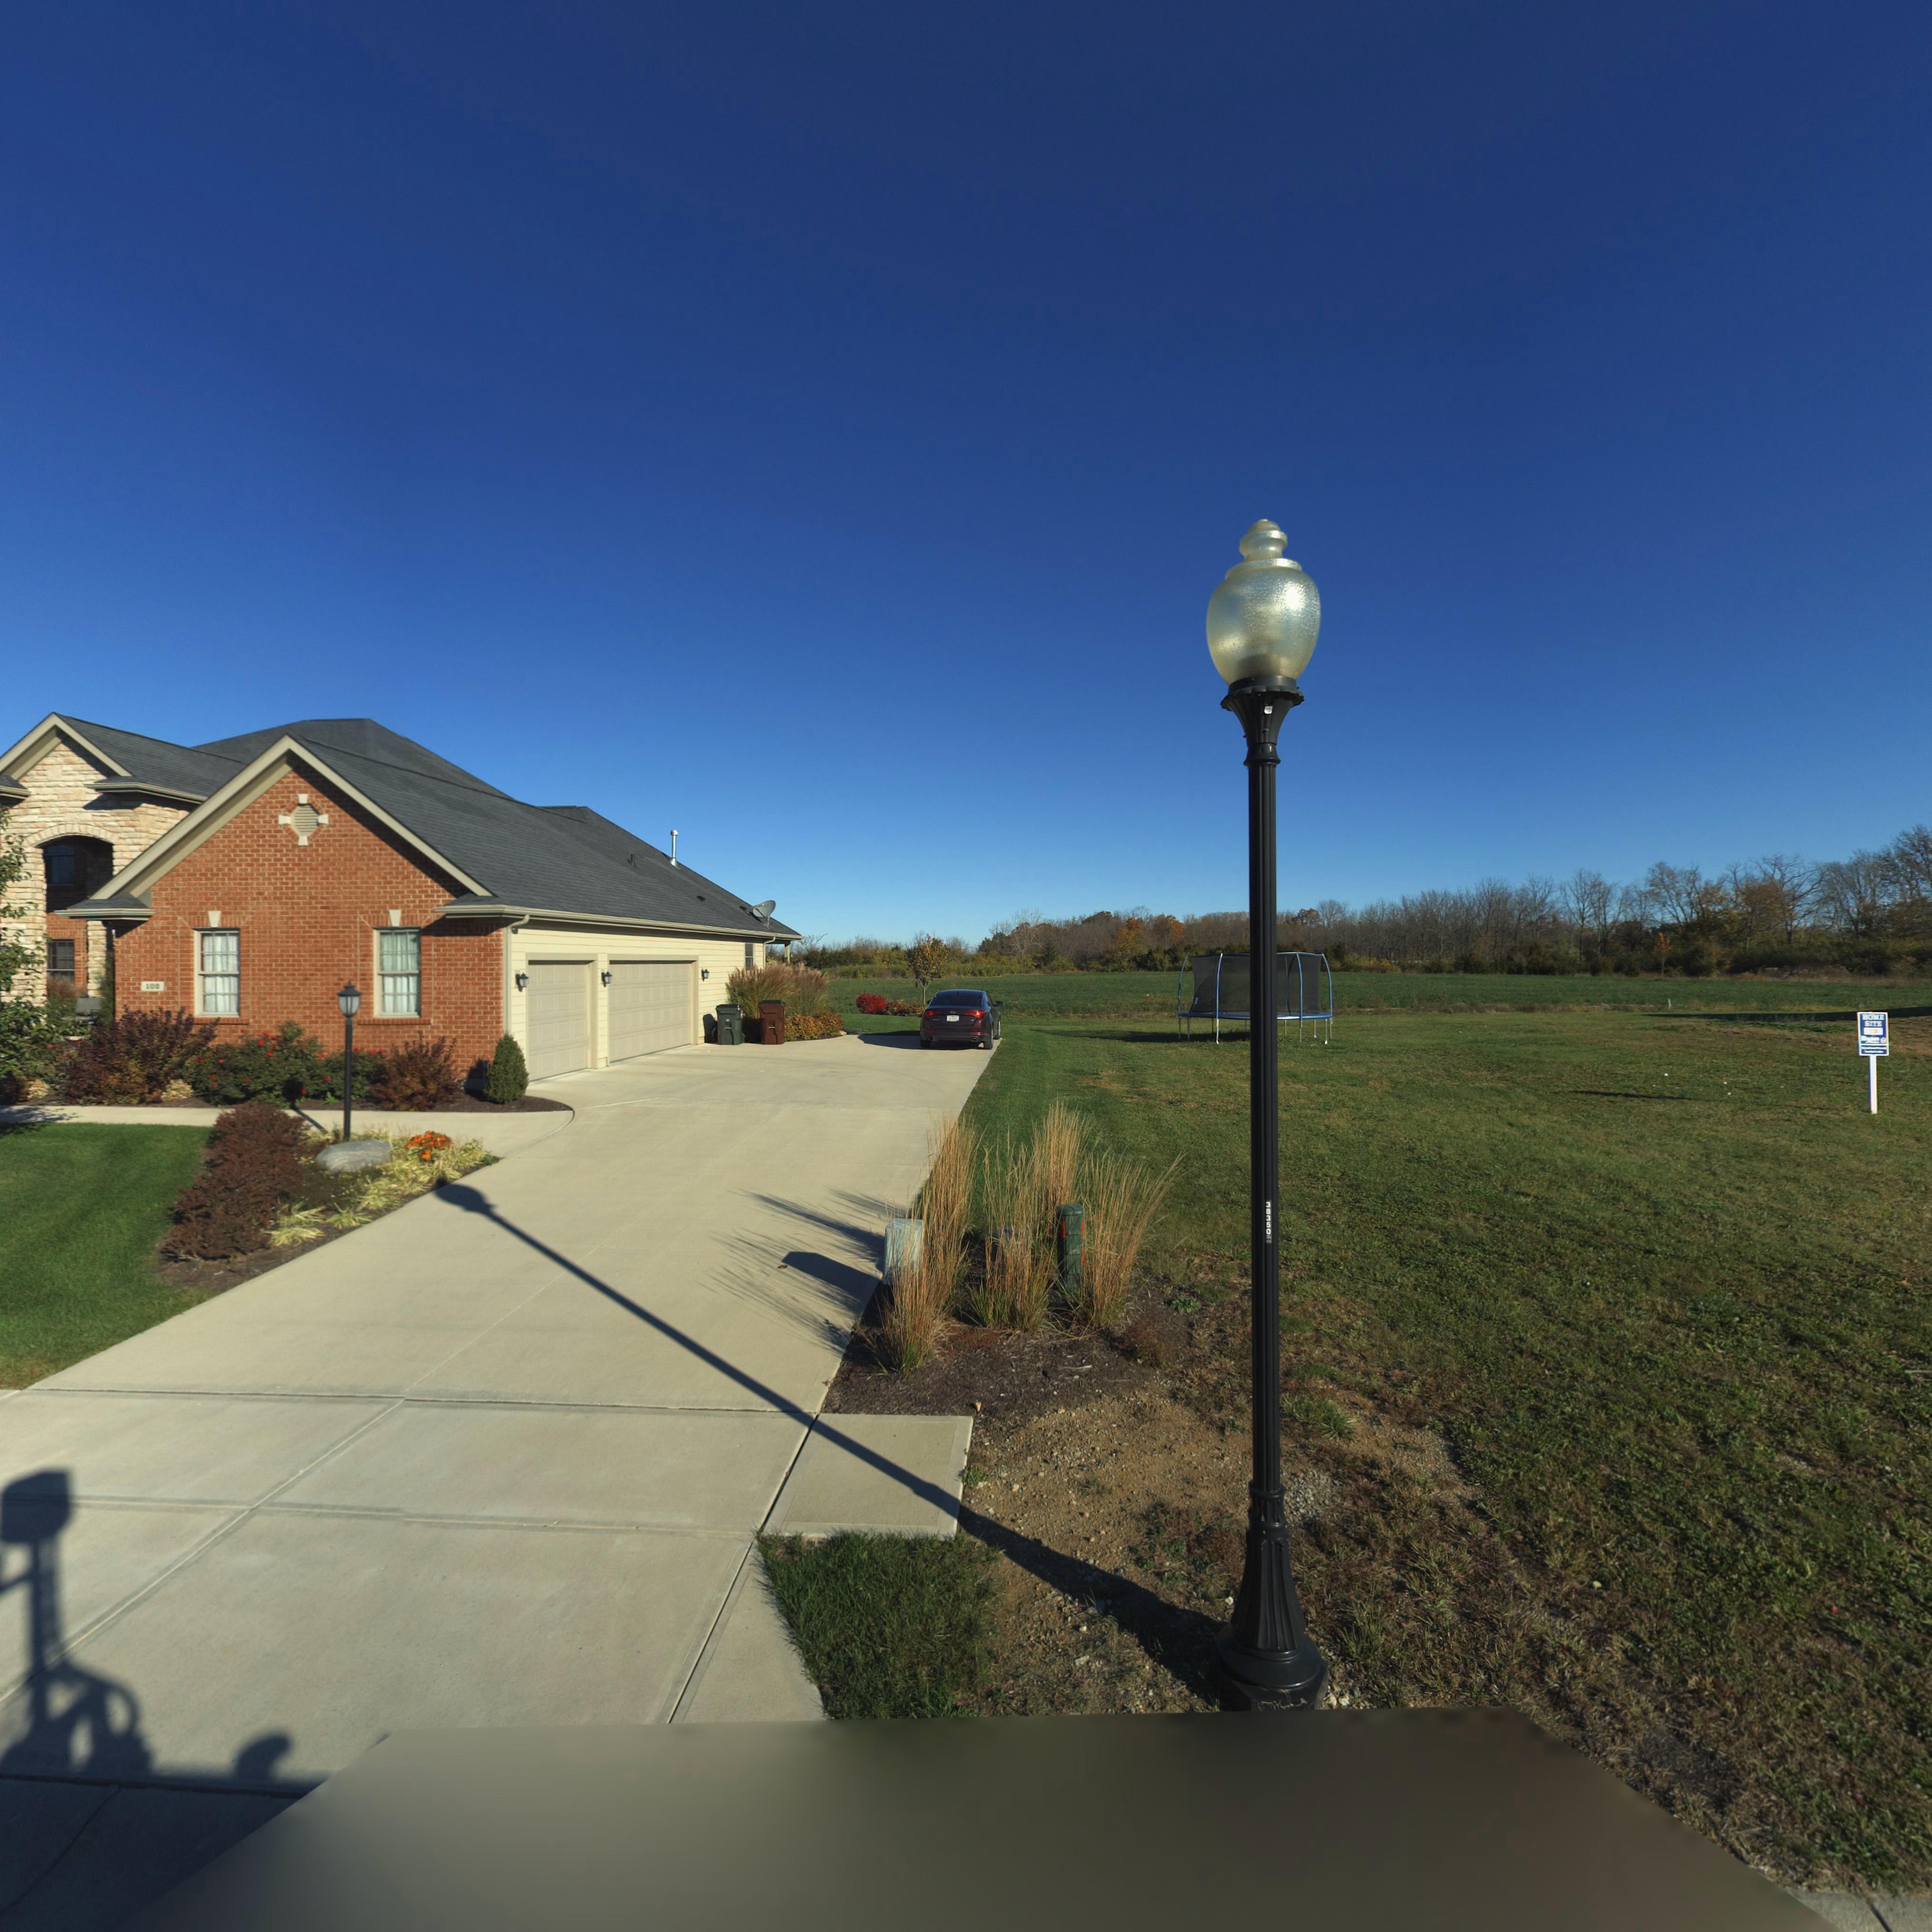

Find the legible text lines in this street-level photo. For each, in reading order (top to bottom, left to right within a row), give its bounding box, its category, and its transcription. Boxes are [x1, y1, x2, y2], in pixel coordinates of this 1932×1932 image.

[145, 982, 160, 990] StreetNumber: 10*